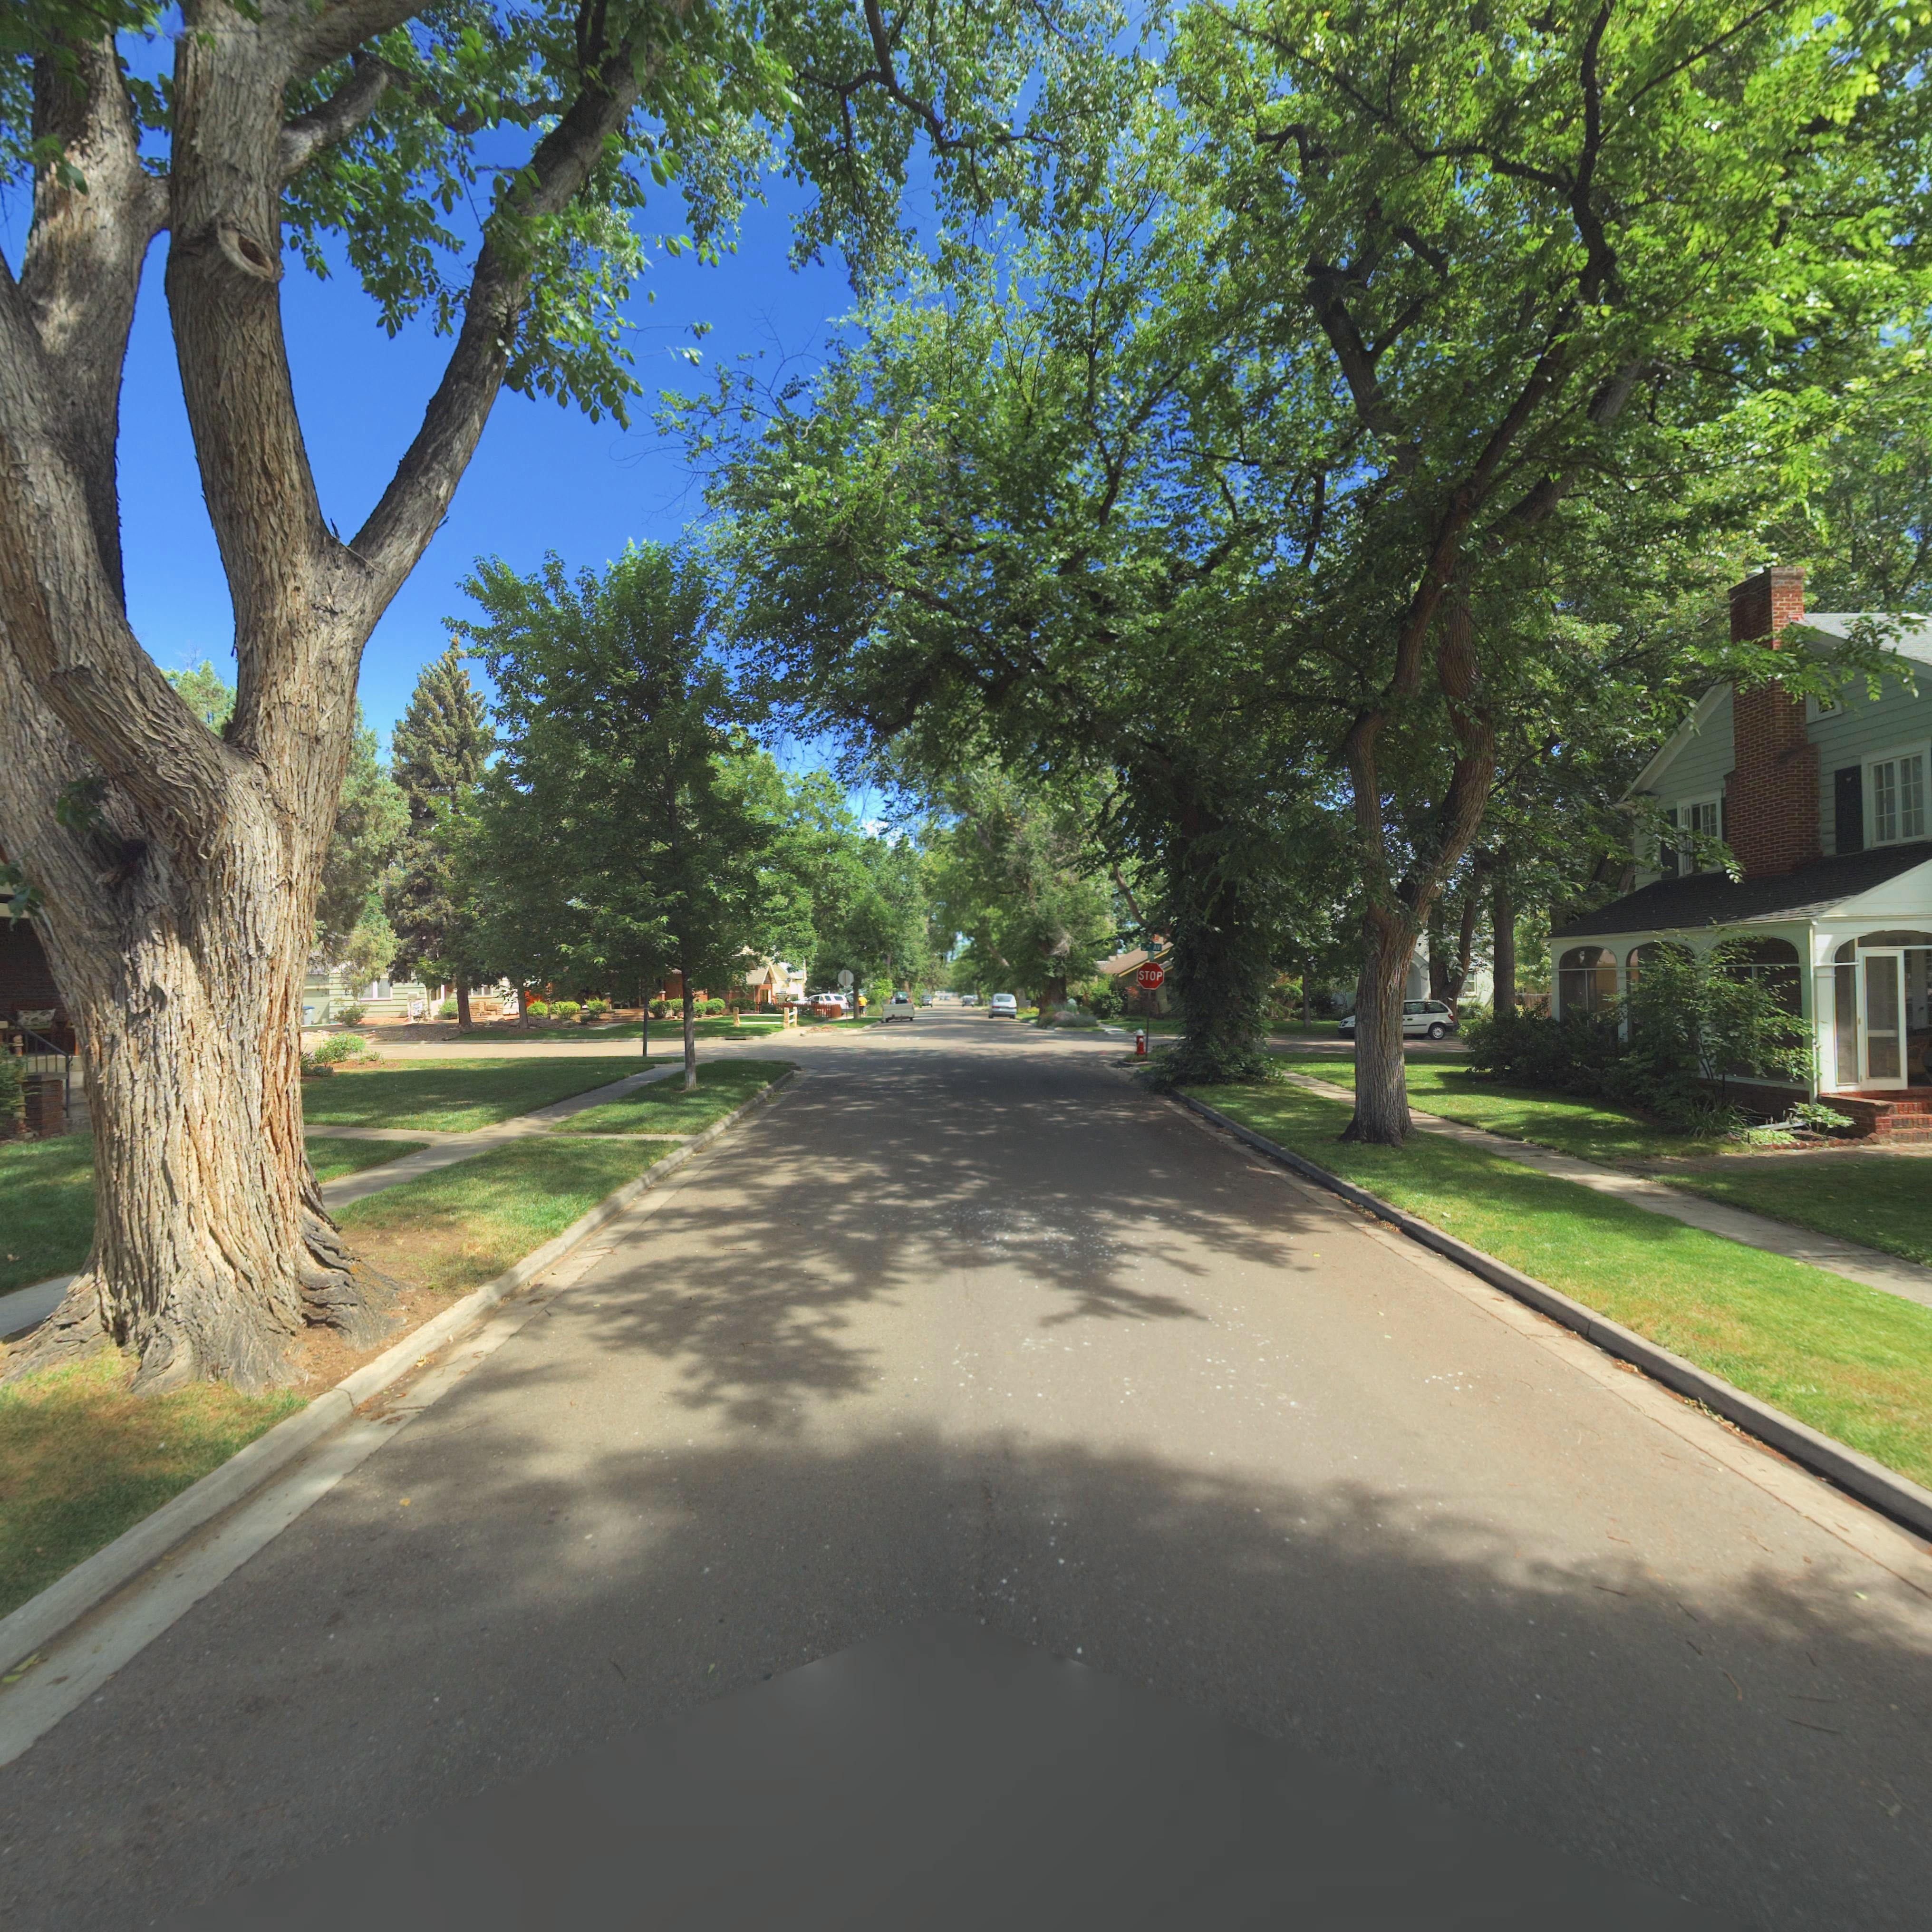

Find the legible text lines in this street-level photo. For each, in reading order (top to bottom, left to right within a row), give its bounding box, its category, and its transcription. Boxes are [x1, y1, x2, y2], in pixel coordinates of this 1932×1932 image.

[1142, 943, 1161, 950] StreetName: *** AV